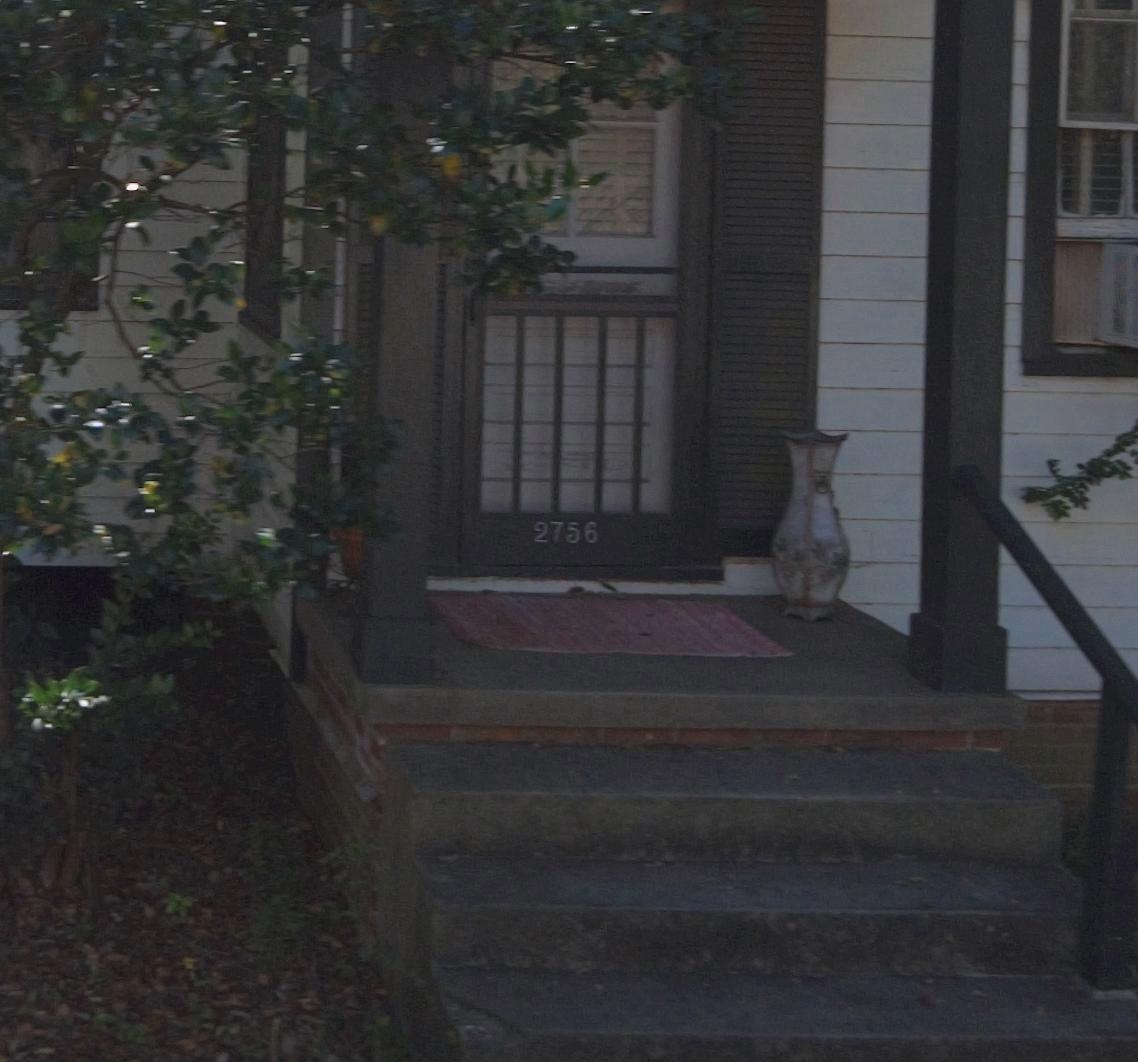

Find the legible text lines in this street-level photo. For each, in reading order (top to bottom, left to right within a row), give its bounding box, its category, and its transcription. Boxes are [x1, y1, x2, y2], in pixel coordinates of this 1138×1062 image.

[532, 519, 601, 546] StreetNumber: 2756